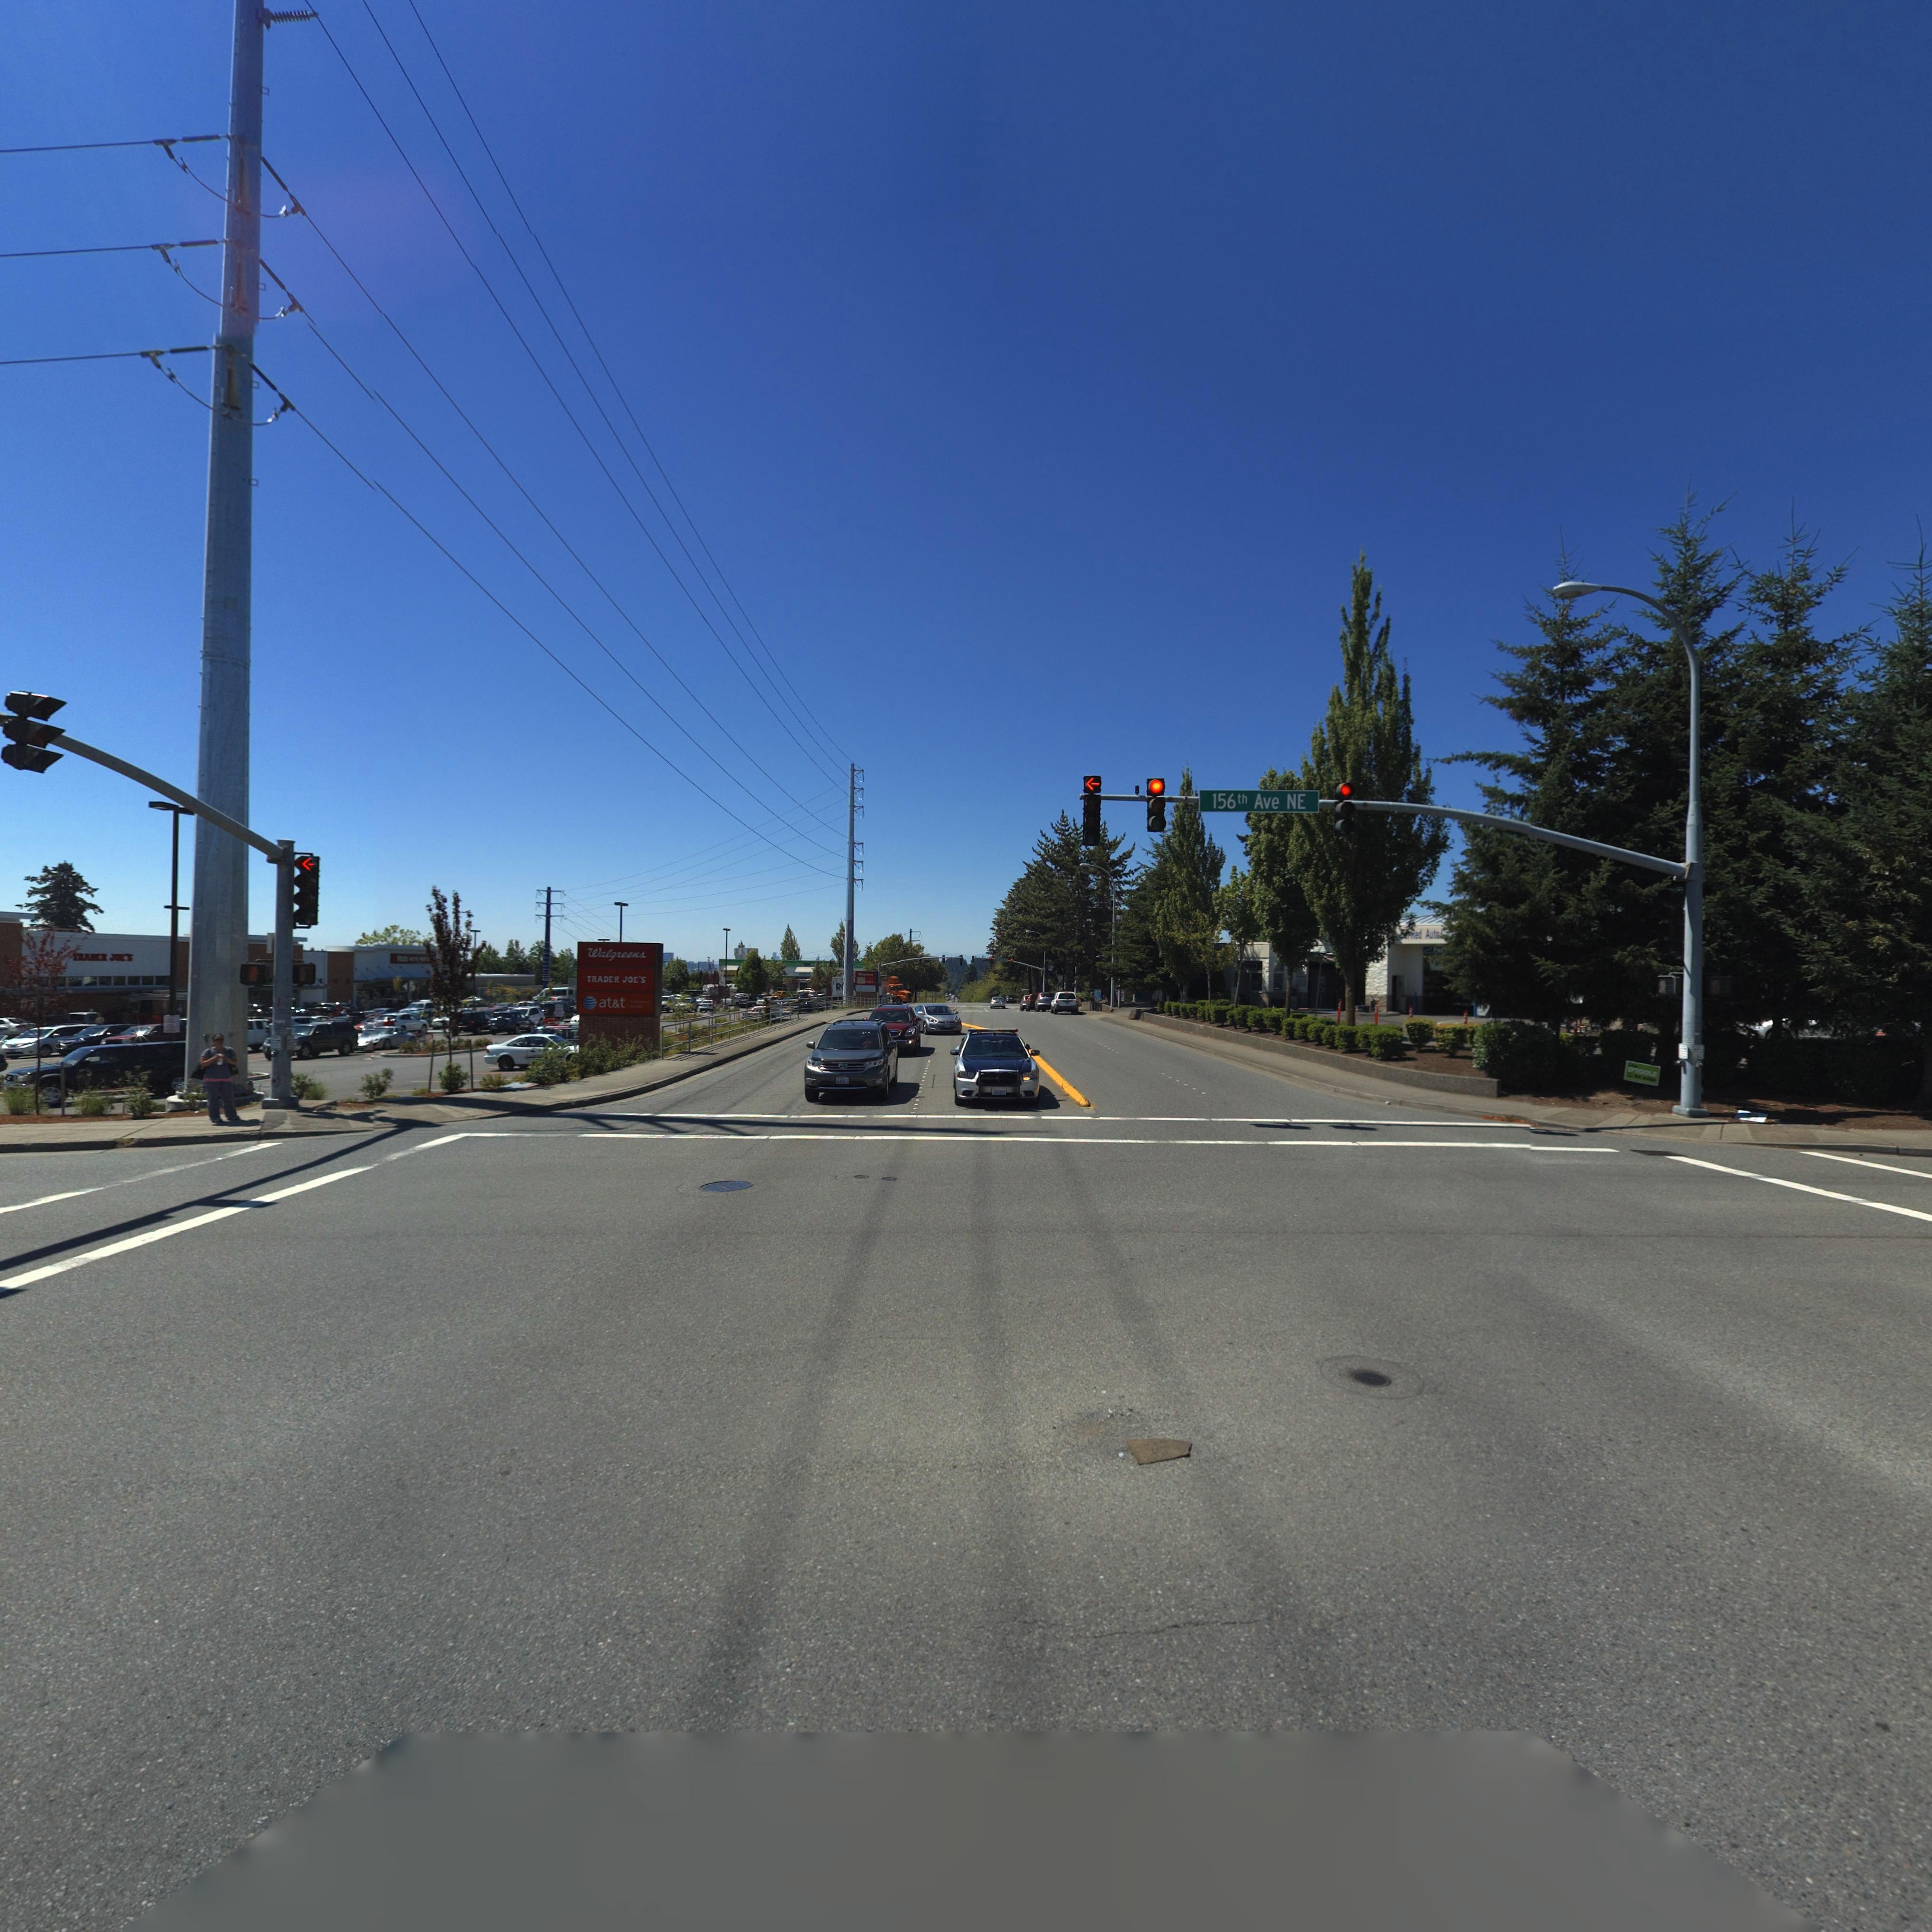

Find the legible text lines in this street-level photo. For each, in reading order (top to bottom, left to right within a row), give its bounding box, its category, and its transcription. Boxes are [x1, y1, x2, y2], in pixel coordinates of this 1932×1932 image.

[1211, 792, 1306, 809] StreetName: 156th Ave NE
[72, 952, 134, 961] BusinessName: TRADER JOE*S
[587, 947, 647, 962] BusinessName: Walgreens
[586, 975, 646, 983] BusinessName: TRADER JOE*S
[599, 997, 625, 1008] BusinessName: at*t